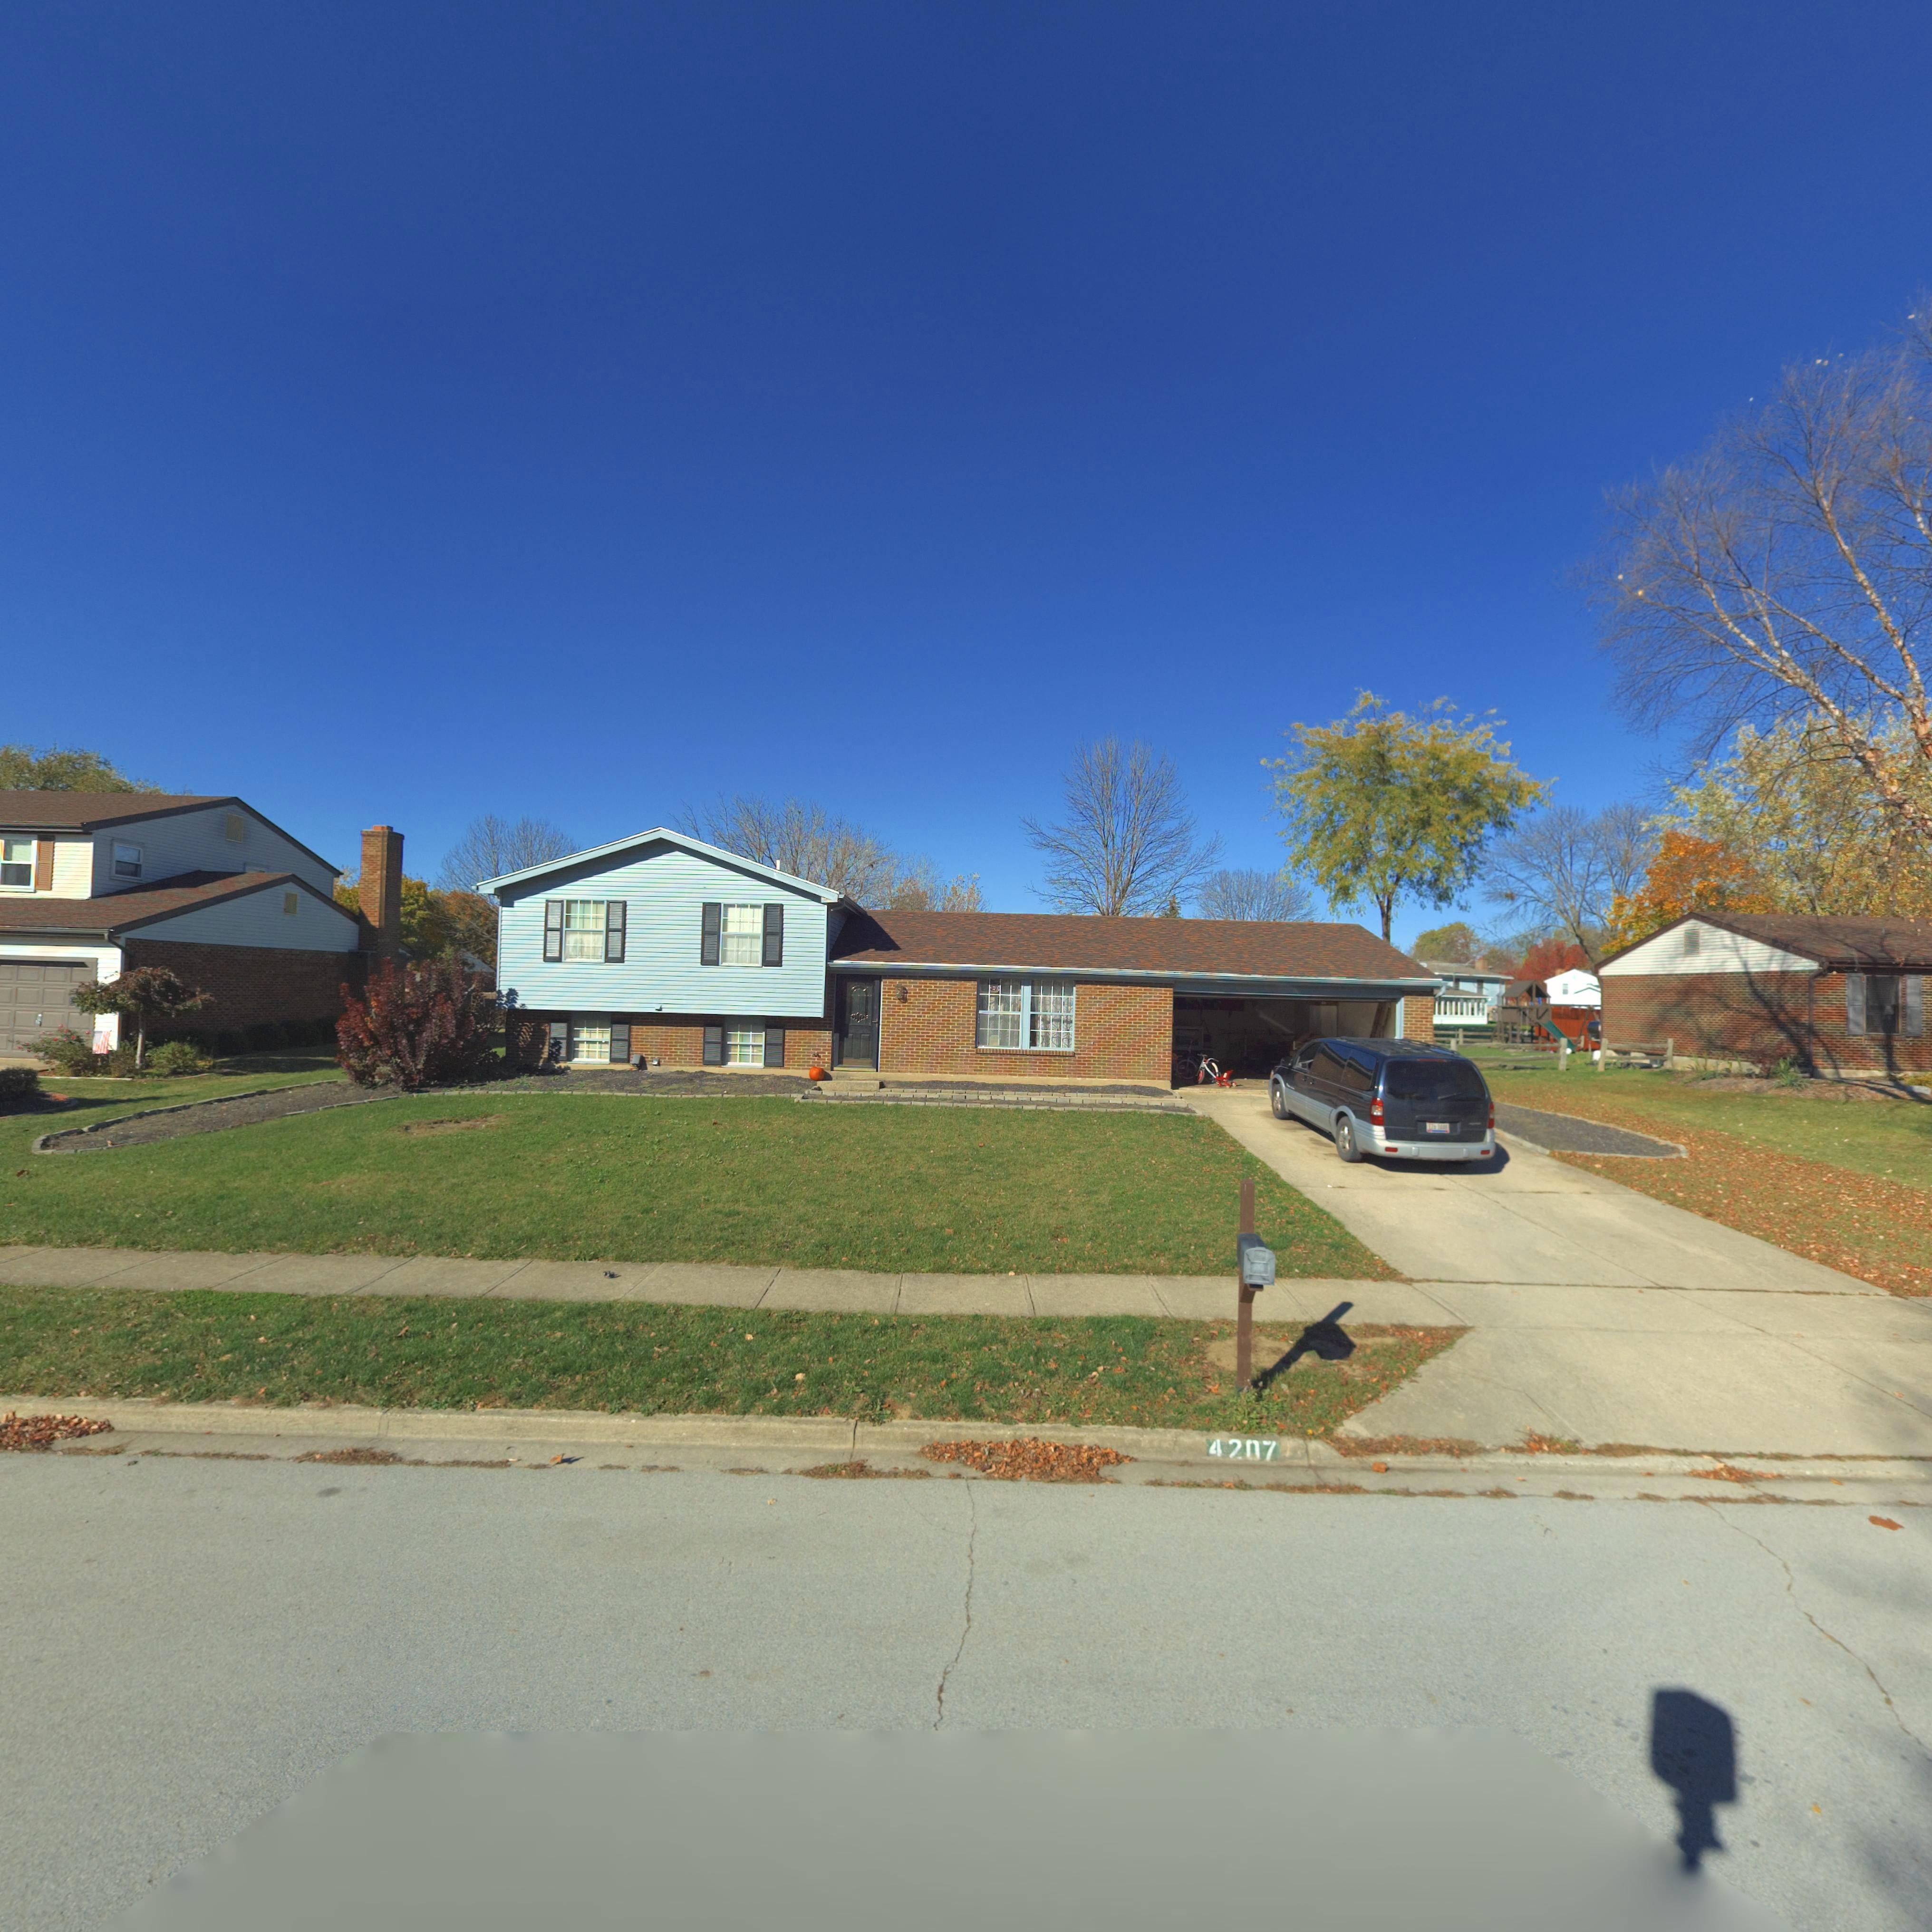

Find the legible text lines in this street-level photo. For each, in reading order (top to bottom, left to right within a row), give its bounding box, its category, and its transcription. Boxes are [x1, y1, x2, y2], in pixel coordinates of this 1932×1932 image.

[1205, 1437, 1279, 1463] StreetNumber: 4207